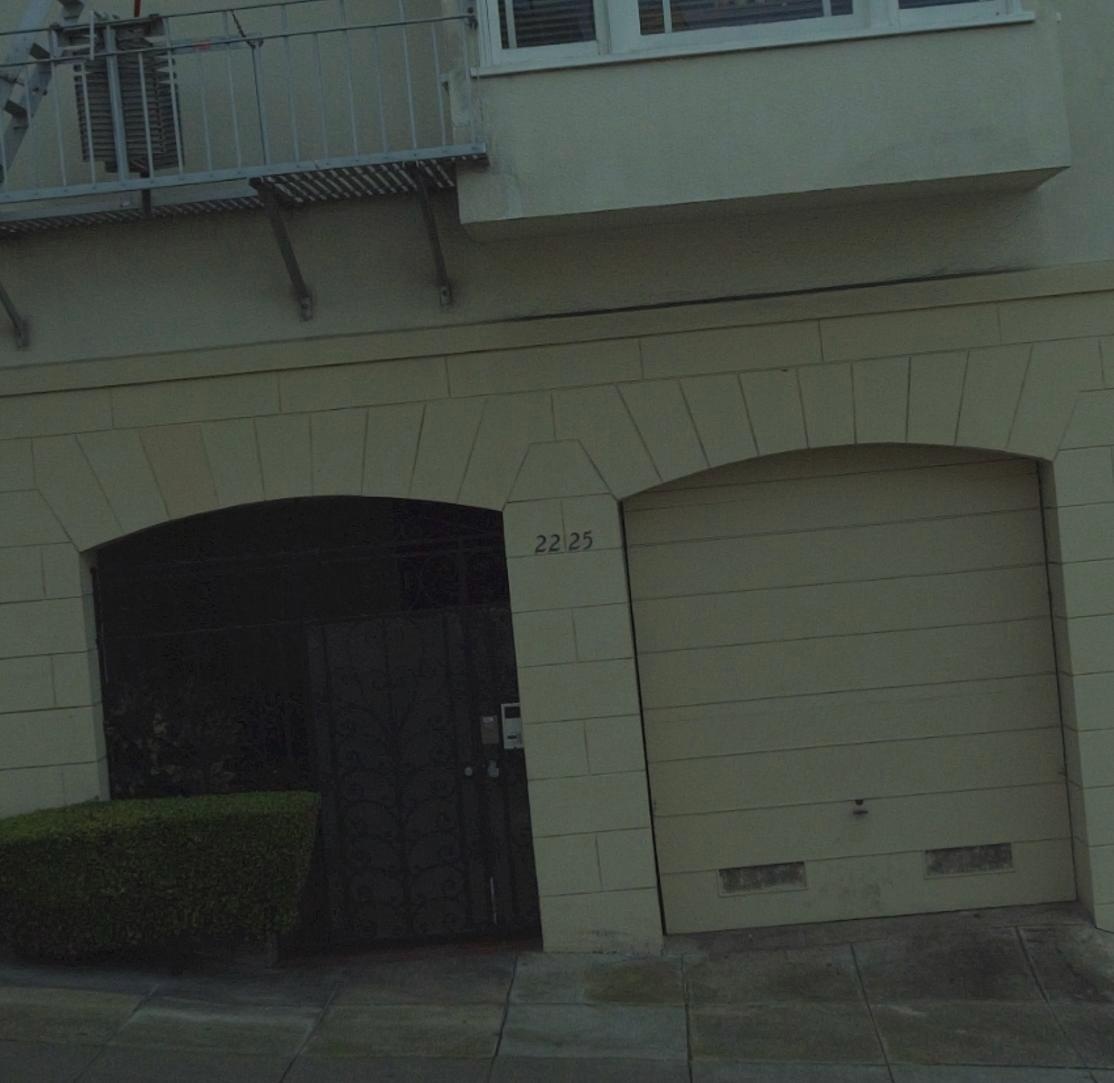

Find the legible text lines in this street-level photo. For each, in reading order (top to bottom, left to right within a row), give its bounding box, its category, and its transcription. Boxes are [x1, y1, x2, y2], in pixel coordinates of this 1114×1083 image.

[532, 527, 596, 555] StreetNumber: 22 25